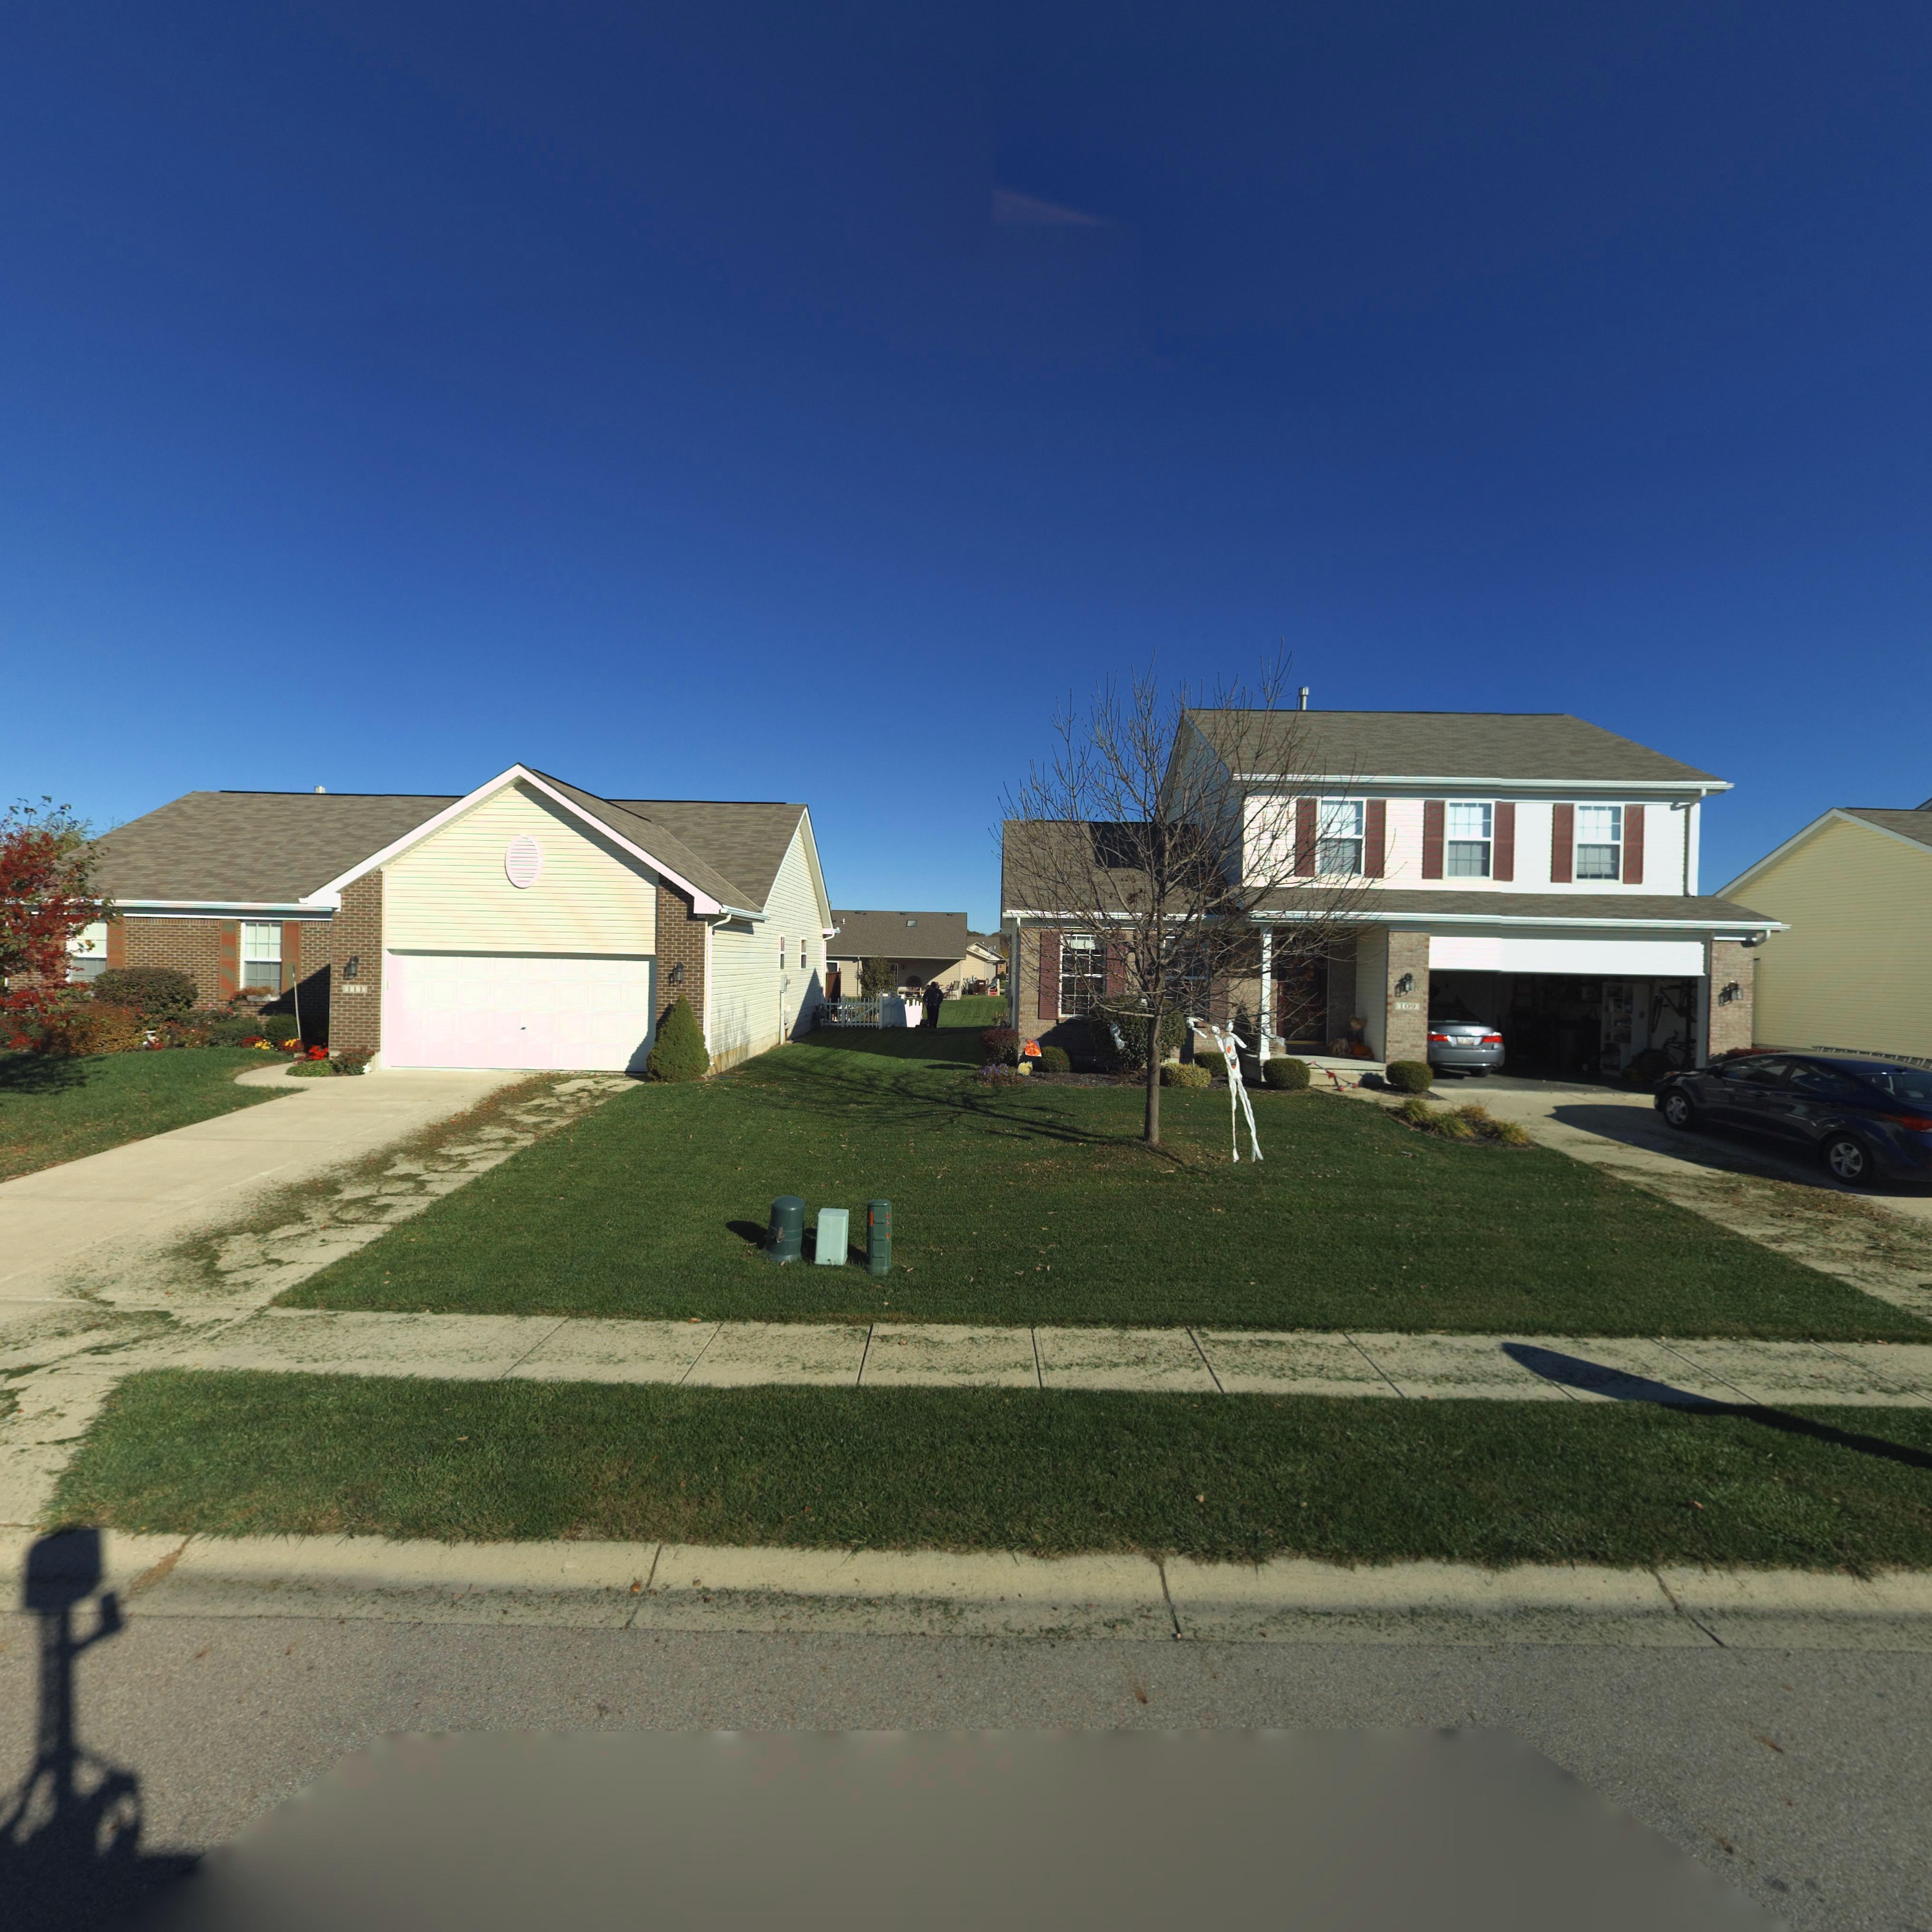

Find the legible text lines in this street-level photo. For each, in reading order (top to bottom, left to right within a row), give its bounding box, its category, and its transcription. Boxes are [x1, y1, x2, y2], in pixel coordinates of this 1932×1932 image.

[347, 985, 364, 994] StreetNumber: 111
[1399, 1002, 1417, 1011] StreetNumber: 109